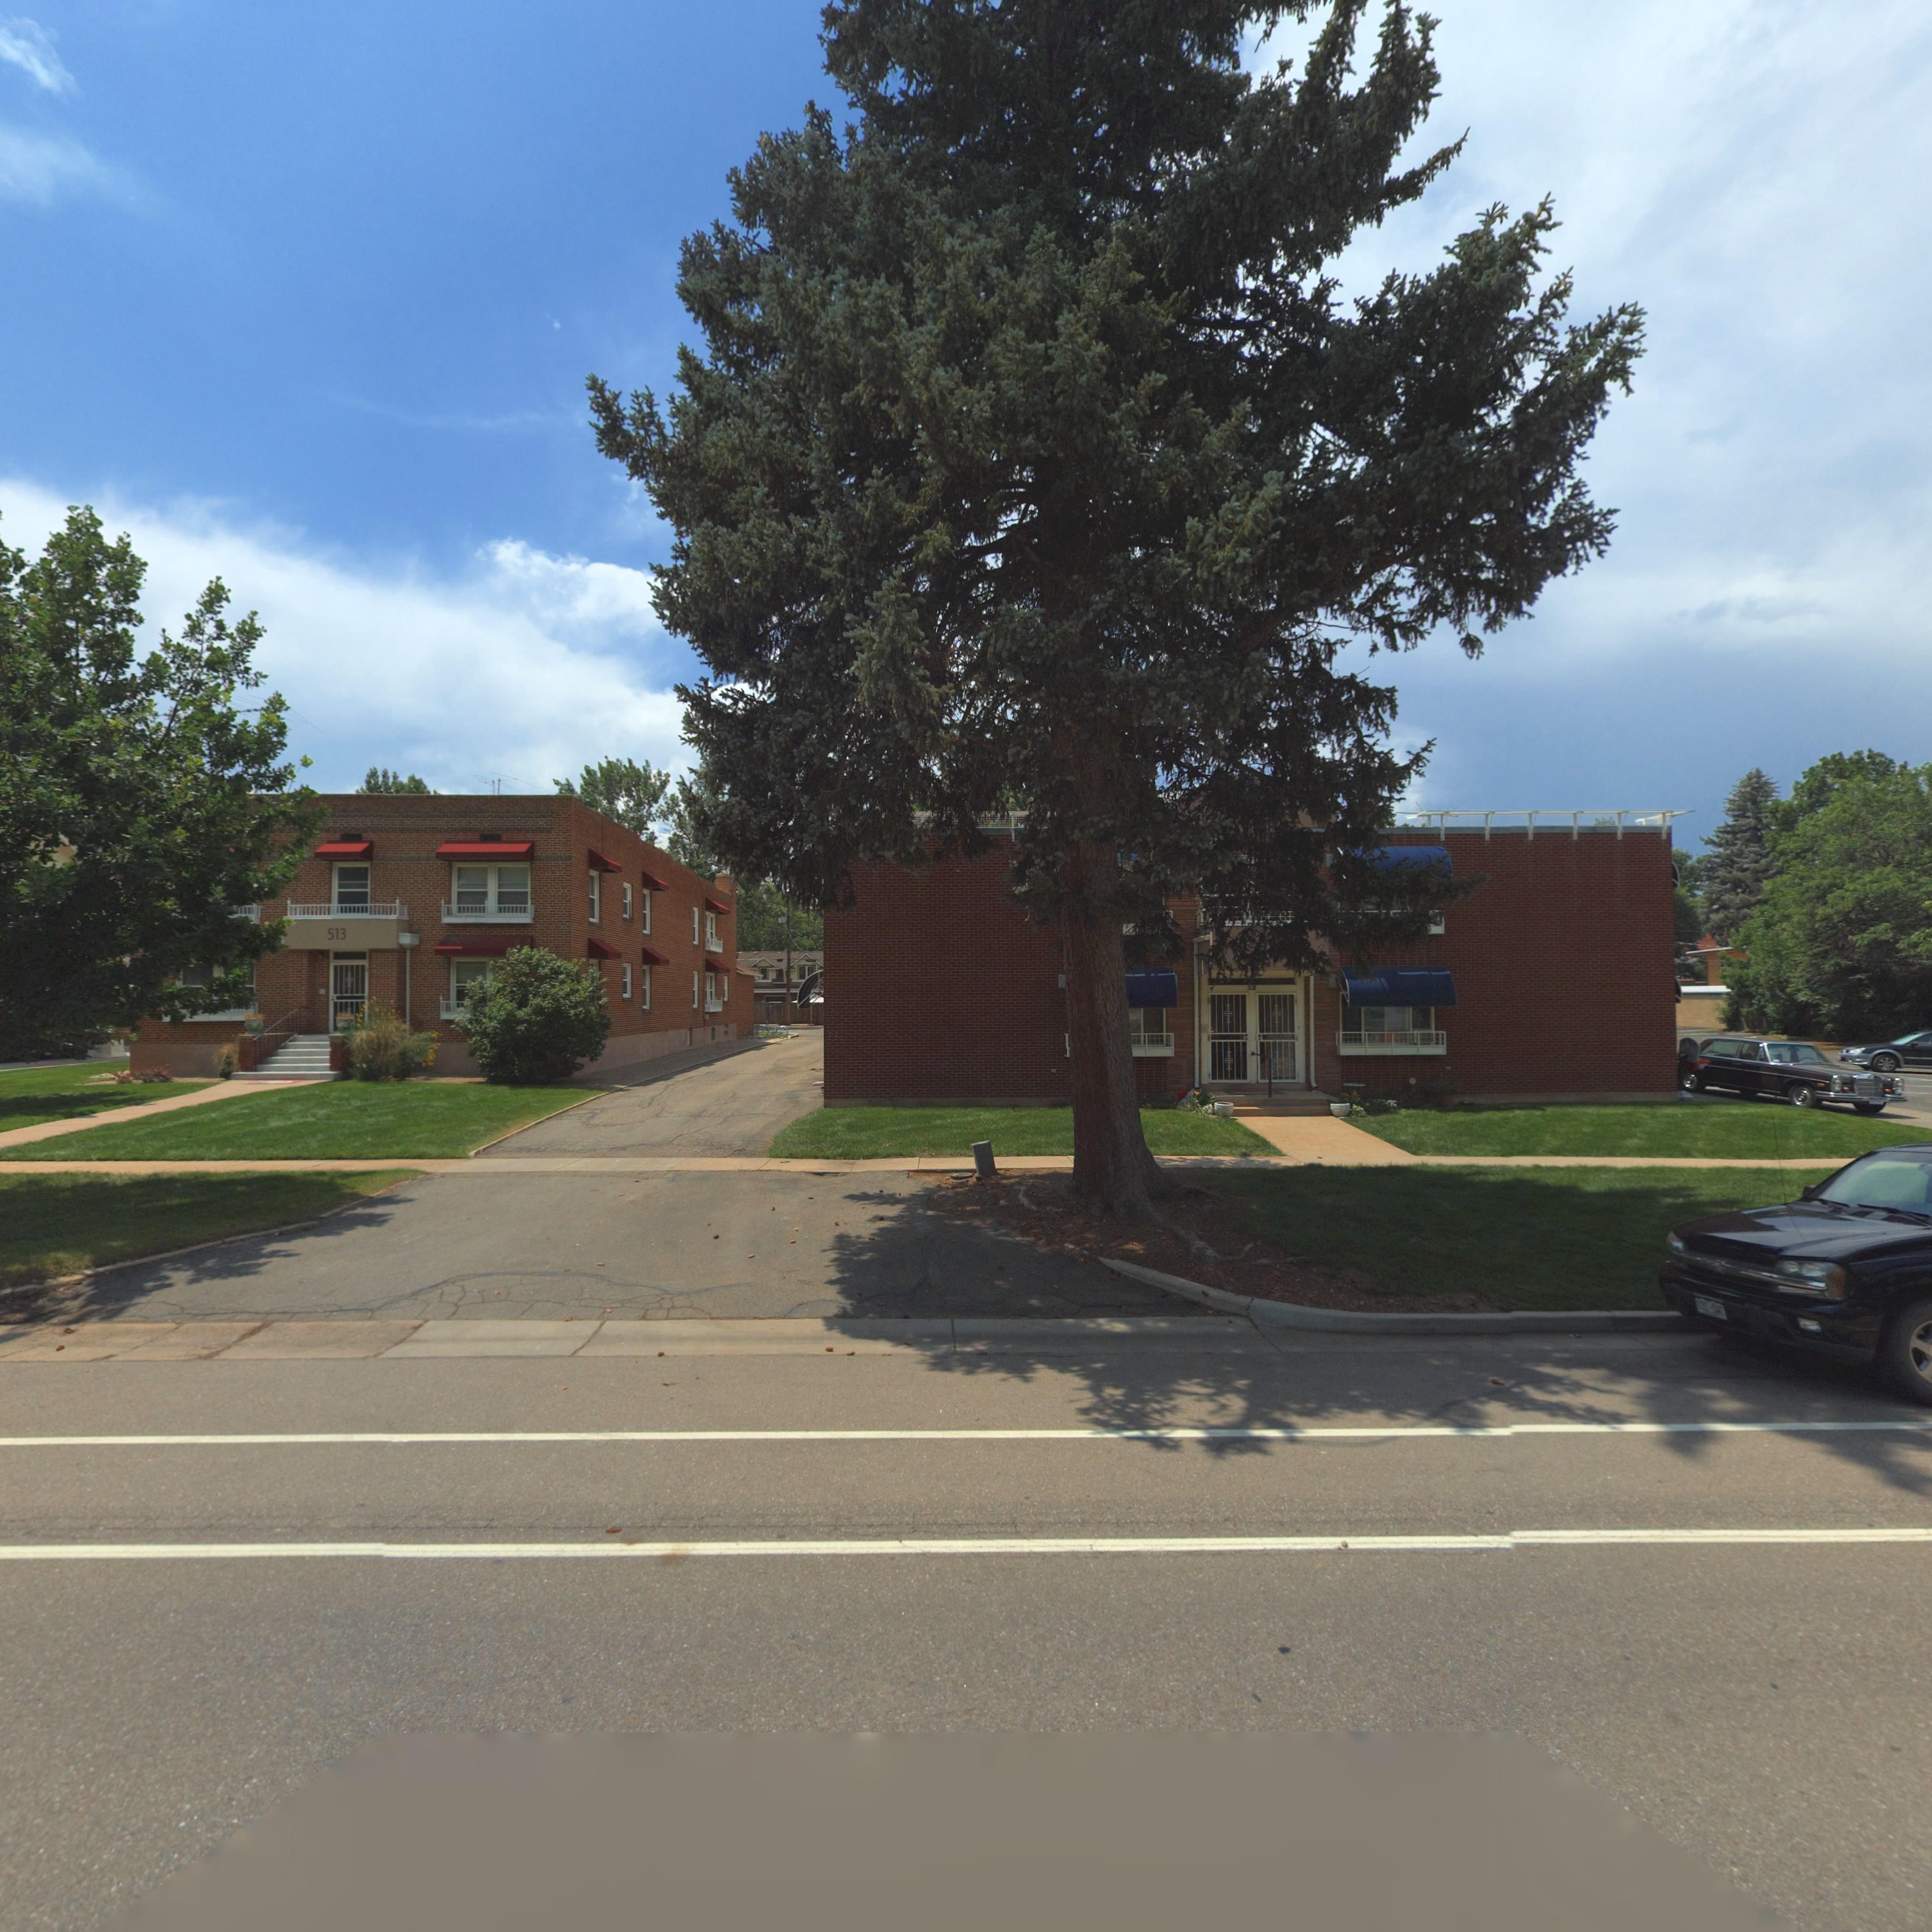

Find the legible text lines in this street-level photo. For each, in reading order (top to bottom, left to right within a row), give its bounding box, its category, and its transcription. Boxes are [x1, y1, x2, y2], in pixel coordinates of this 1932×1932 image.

[327, 927, 347, 941] StreetNumber: 513